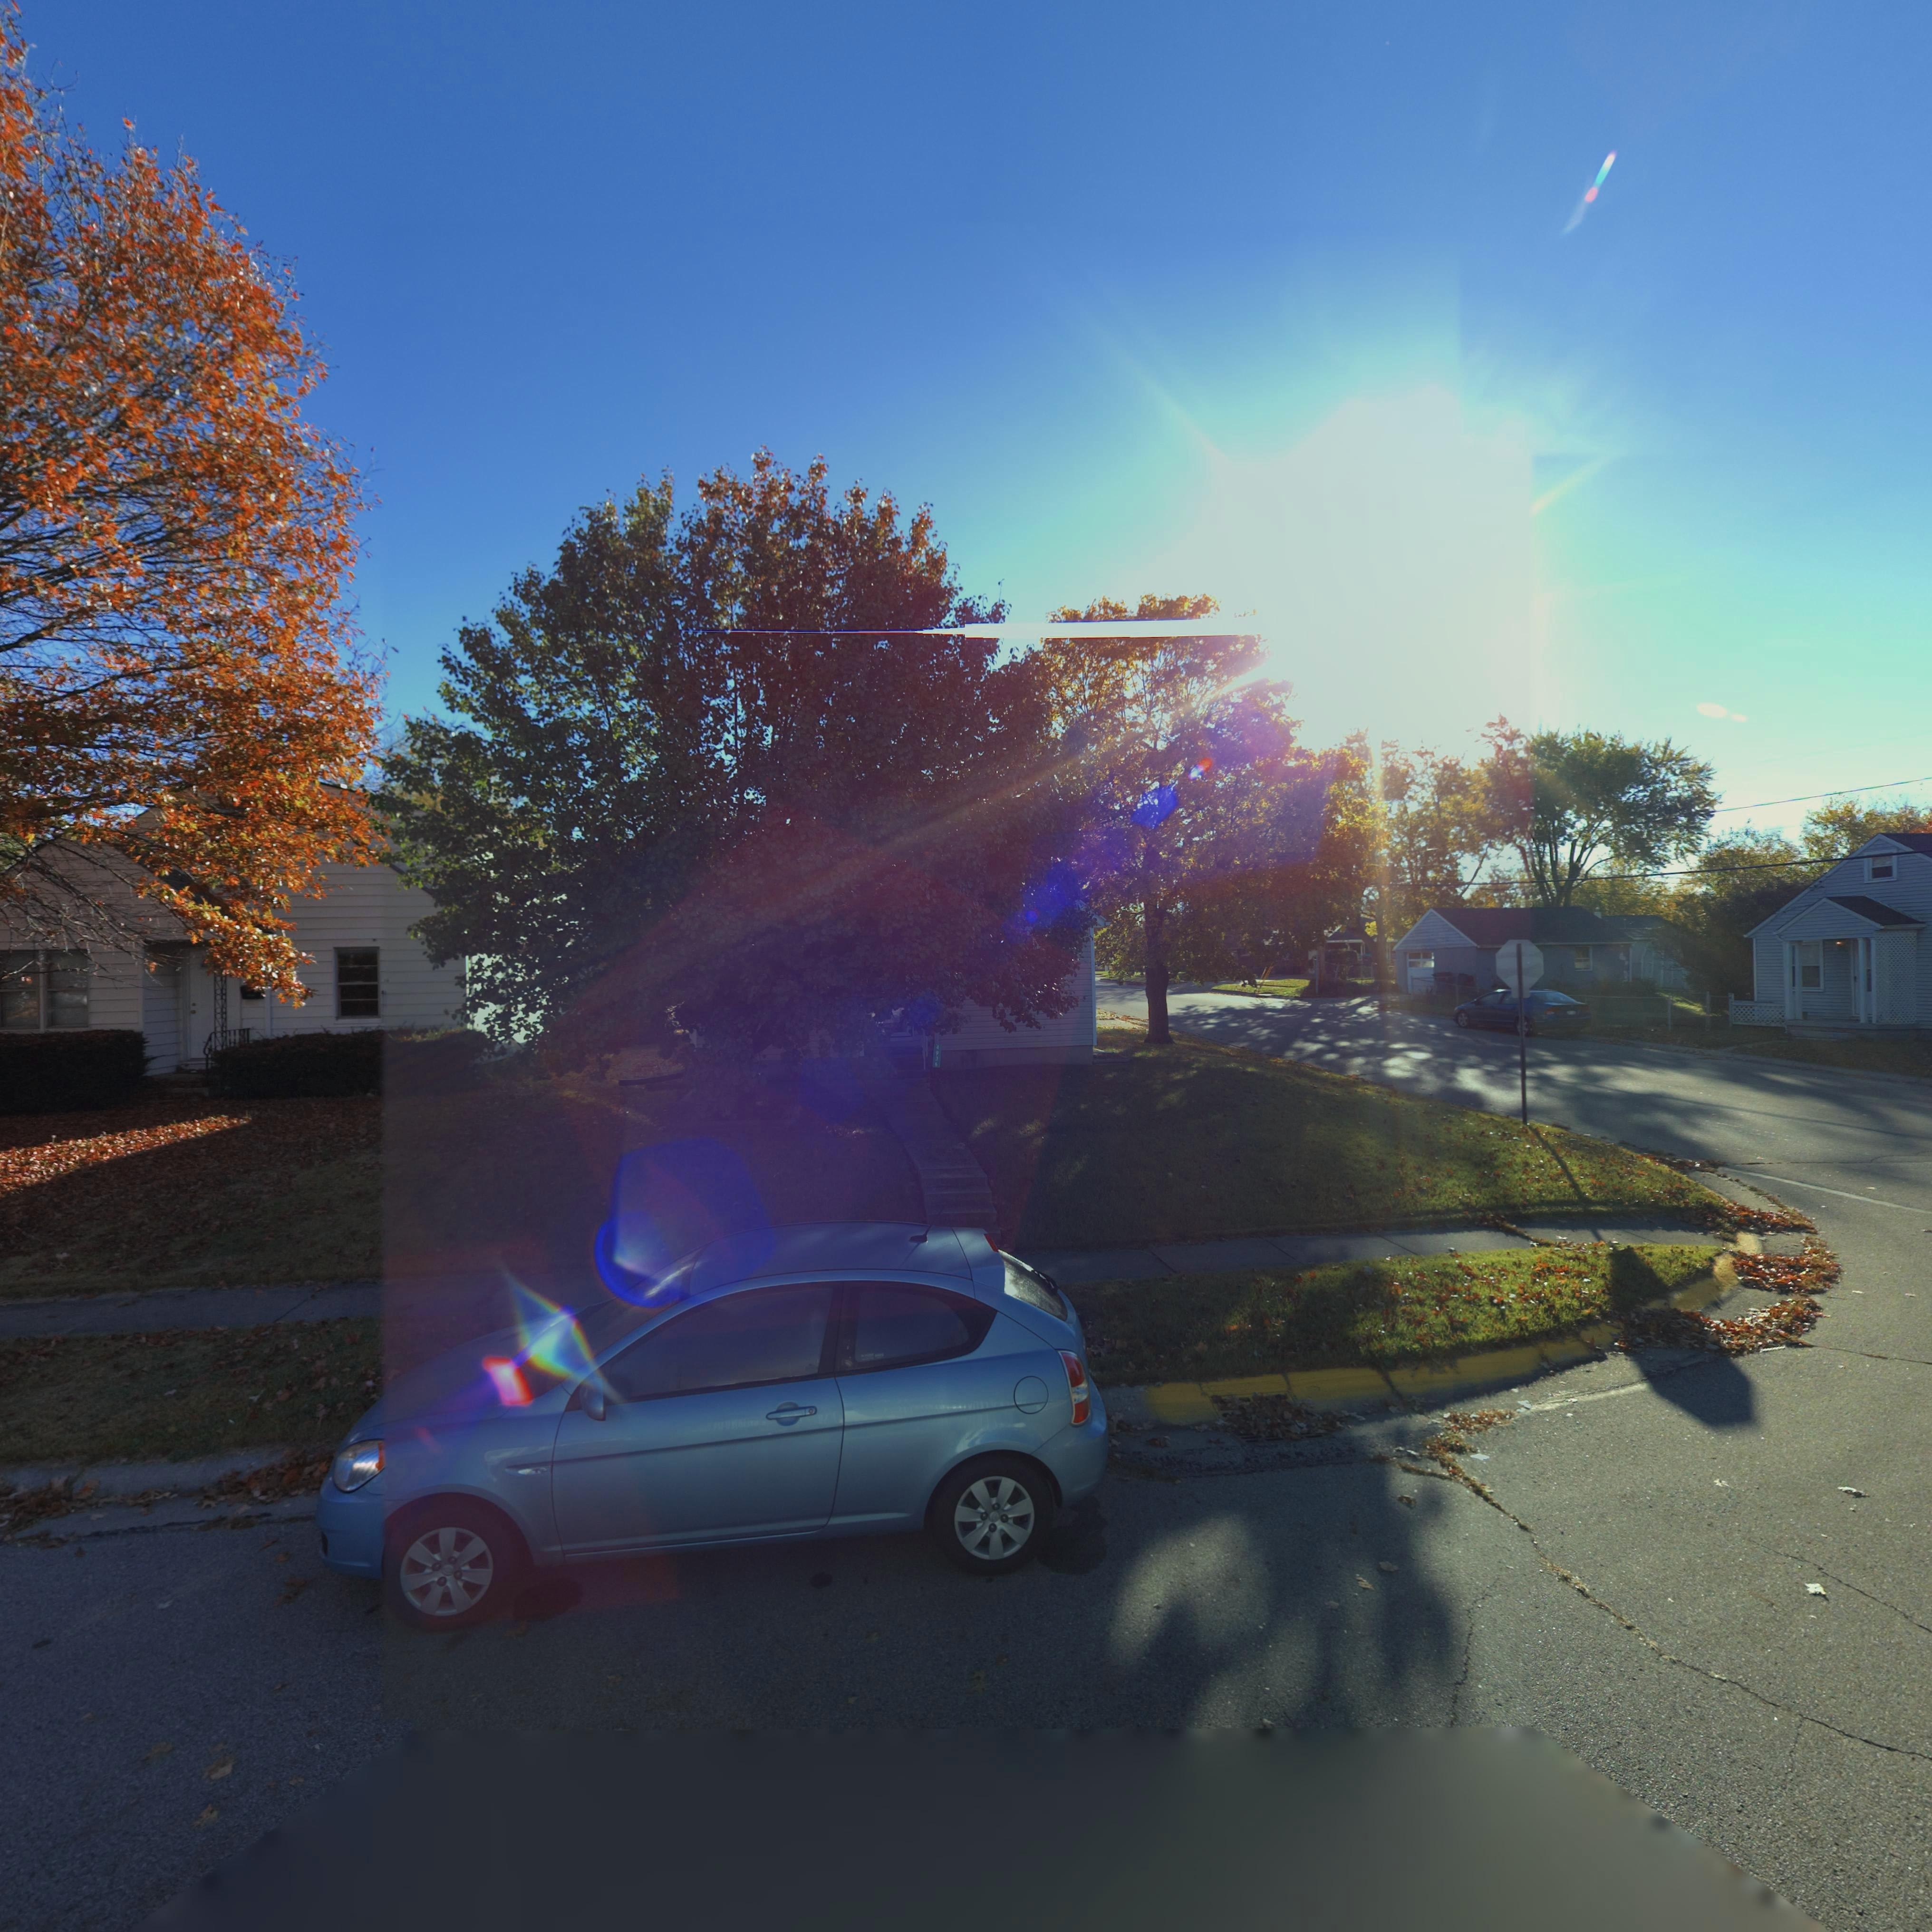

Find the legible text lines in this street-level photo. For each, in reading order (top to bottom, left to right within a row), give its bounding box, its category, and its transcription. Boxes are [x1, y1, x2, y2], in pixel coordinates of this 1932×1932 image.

[934, 1044, 940, 1067] StreetNumber: 4936